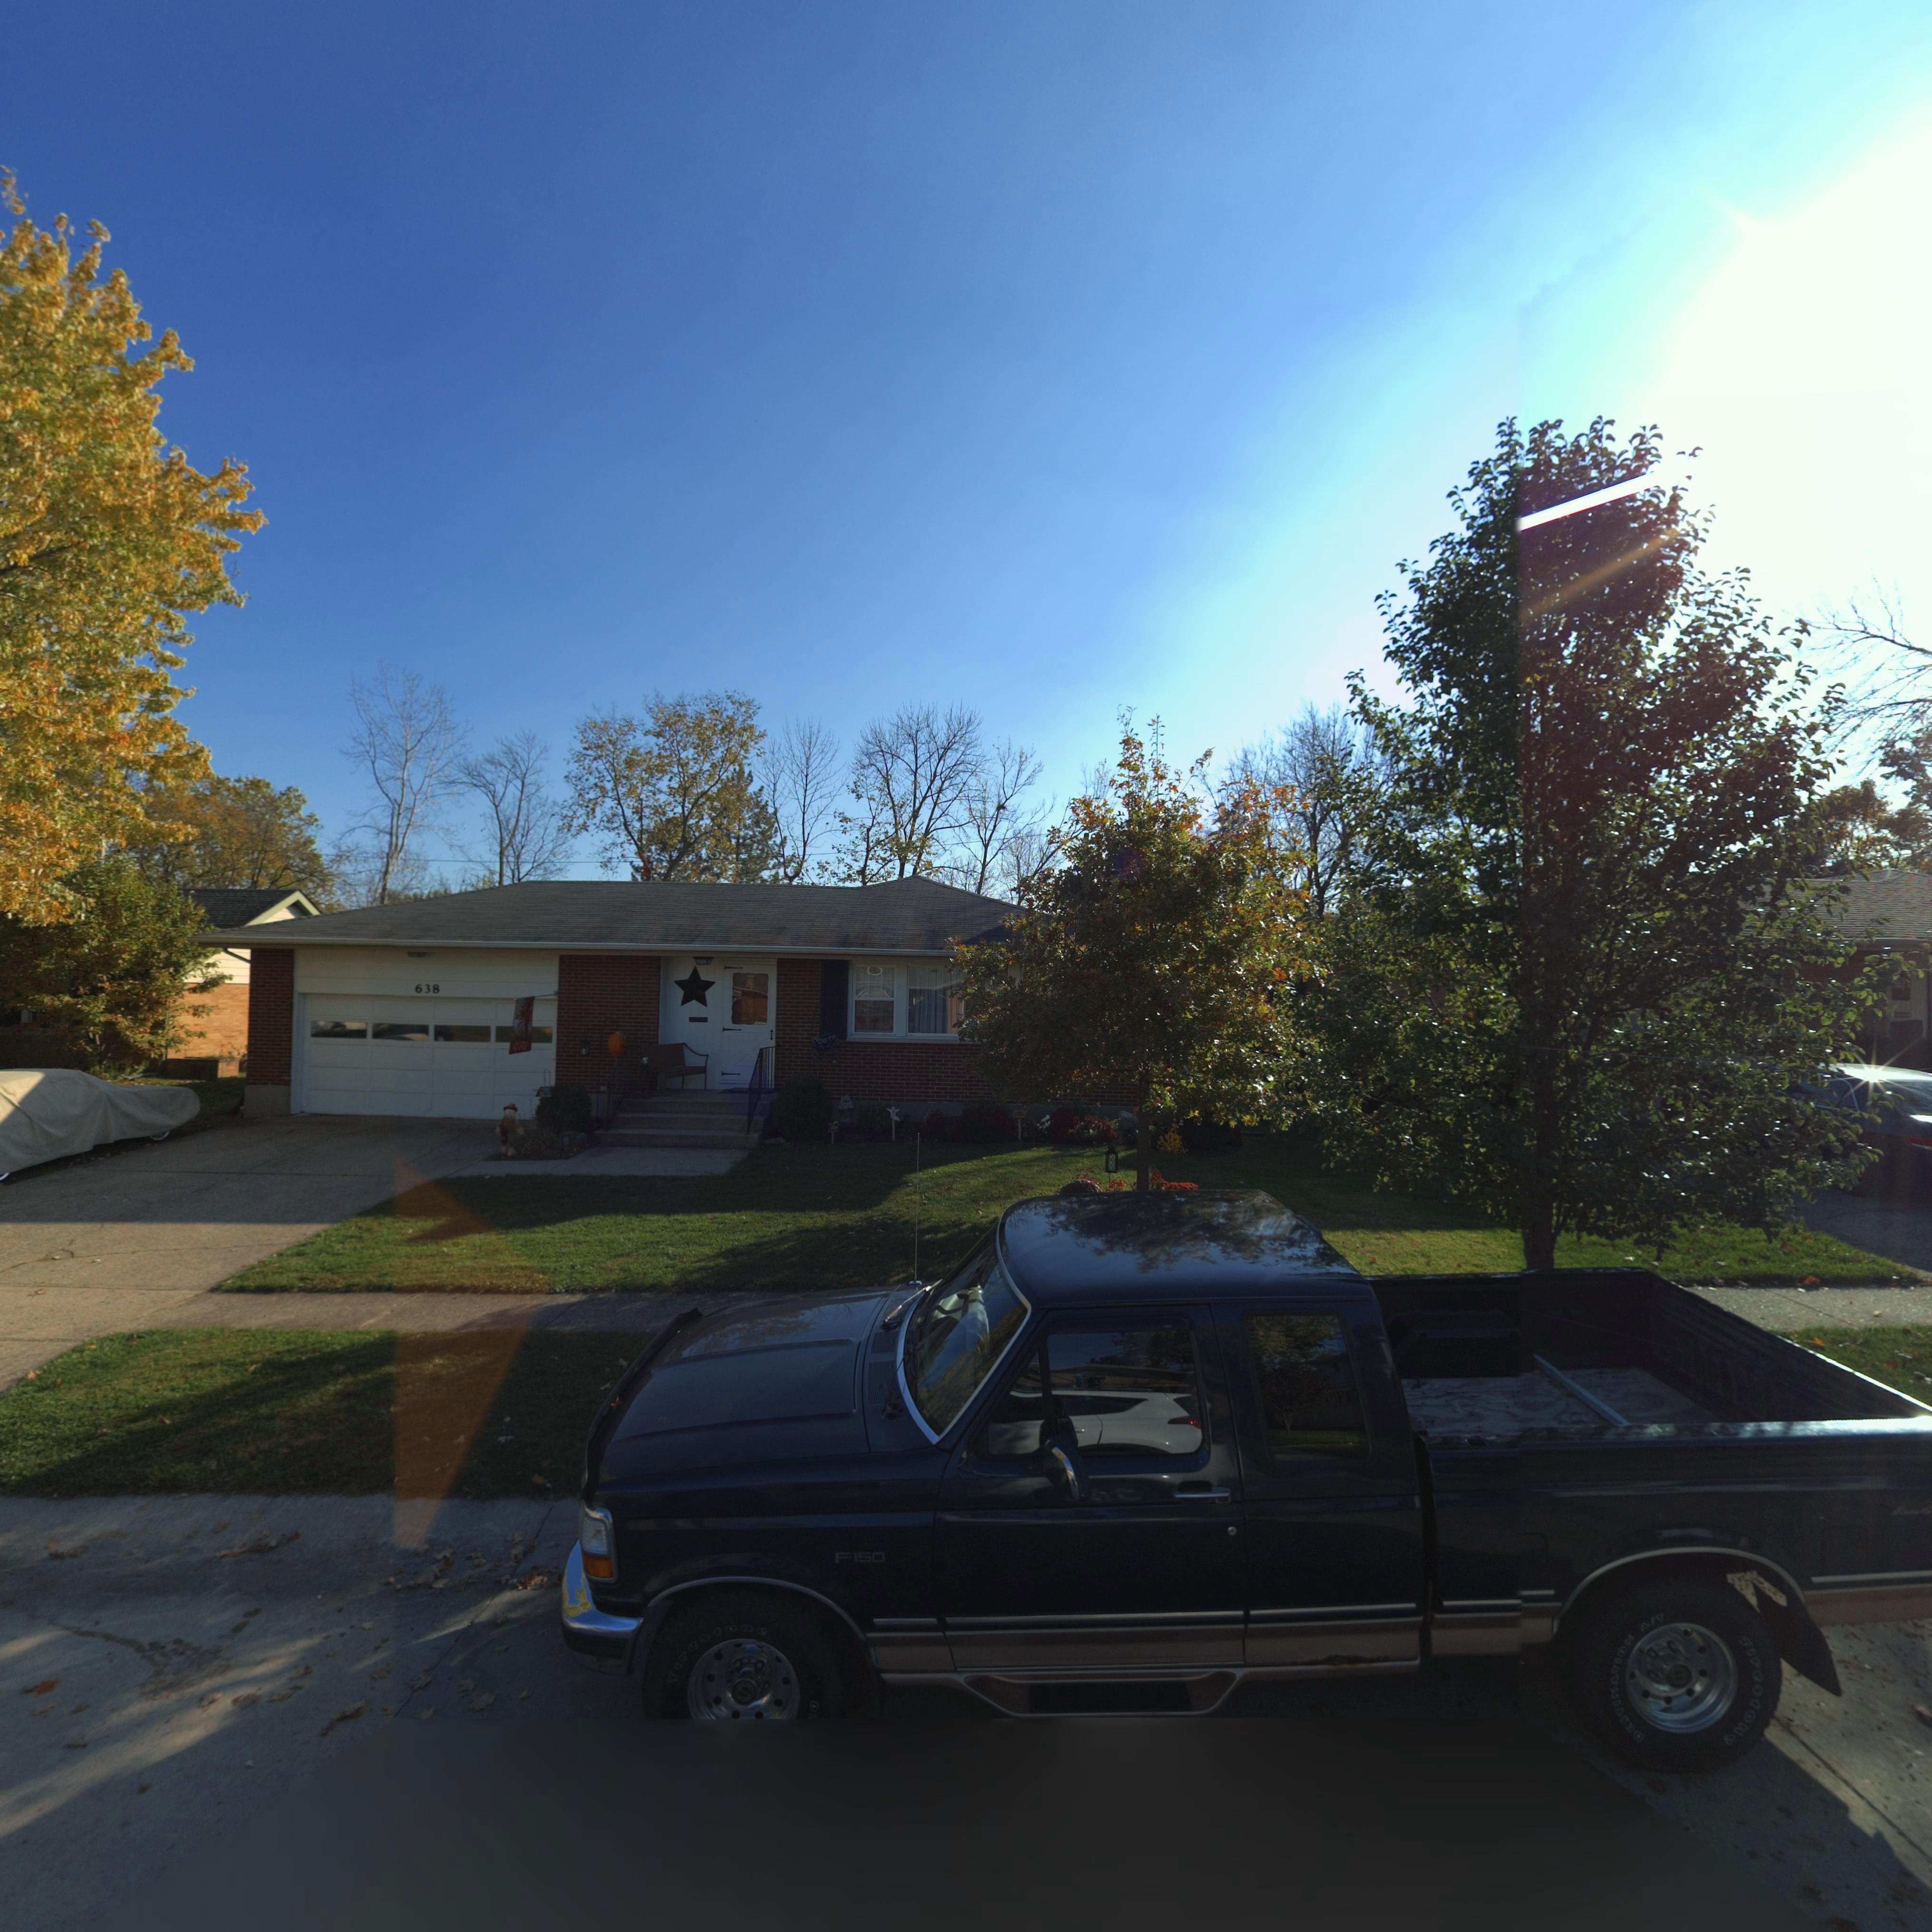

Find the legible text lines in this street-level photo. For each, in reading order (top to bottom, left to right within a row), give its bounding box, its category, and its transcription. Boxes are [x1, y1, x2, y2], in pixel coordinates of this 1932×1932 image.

[414, 983, 440, 994] StreetNumber: 638